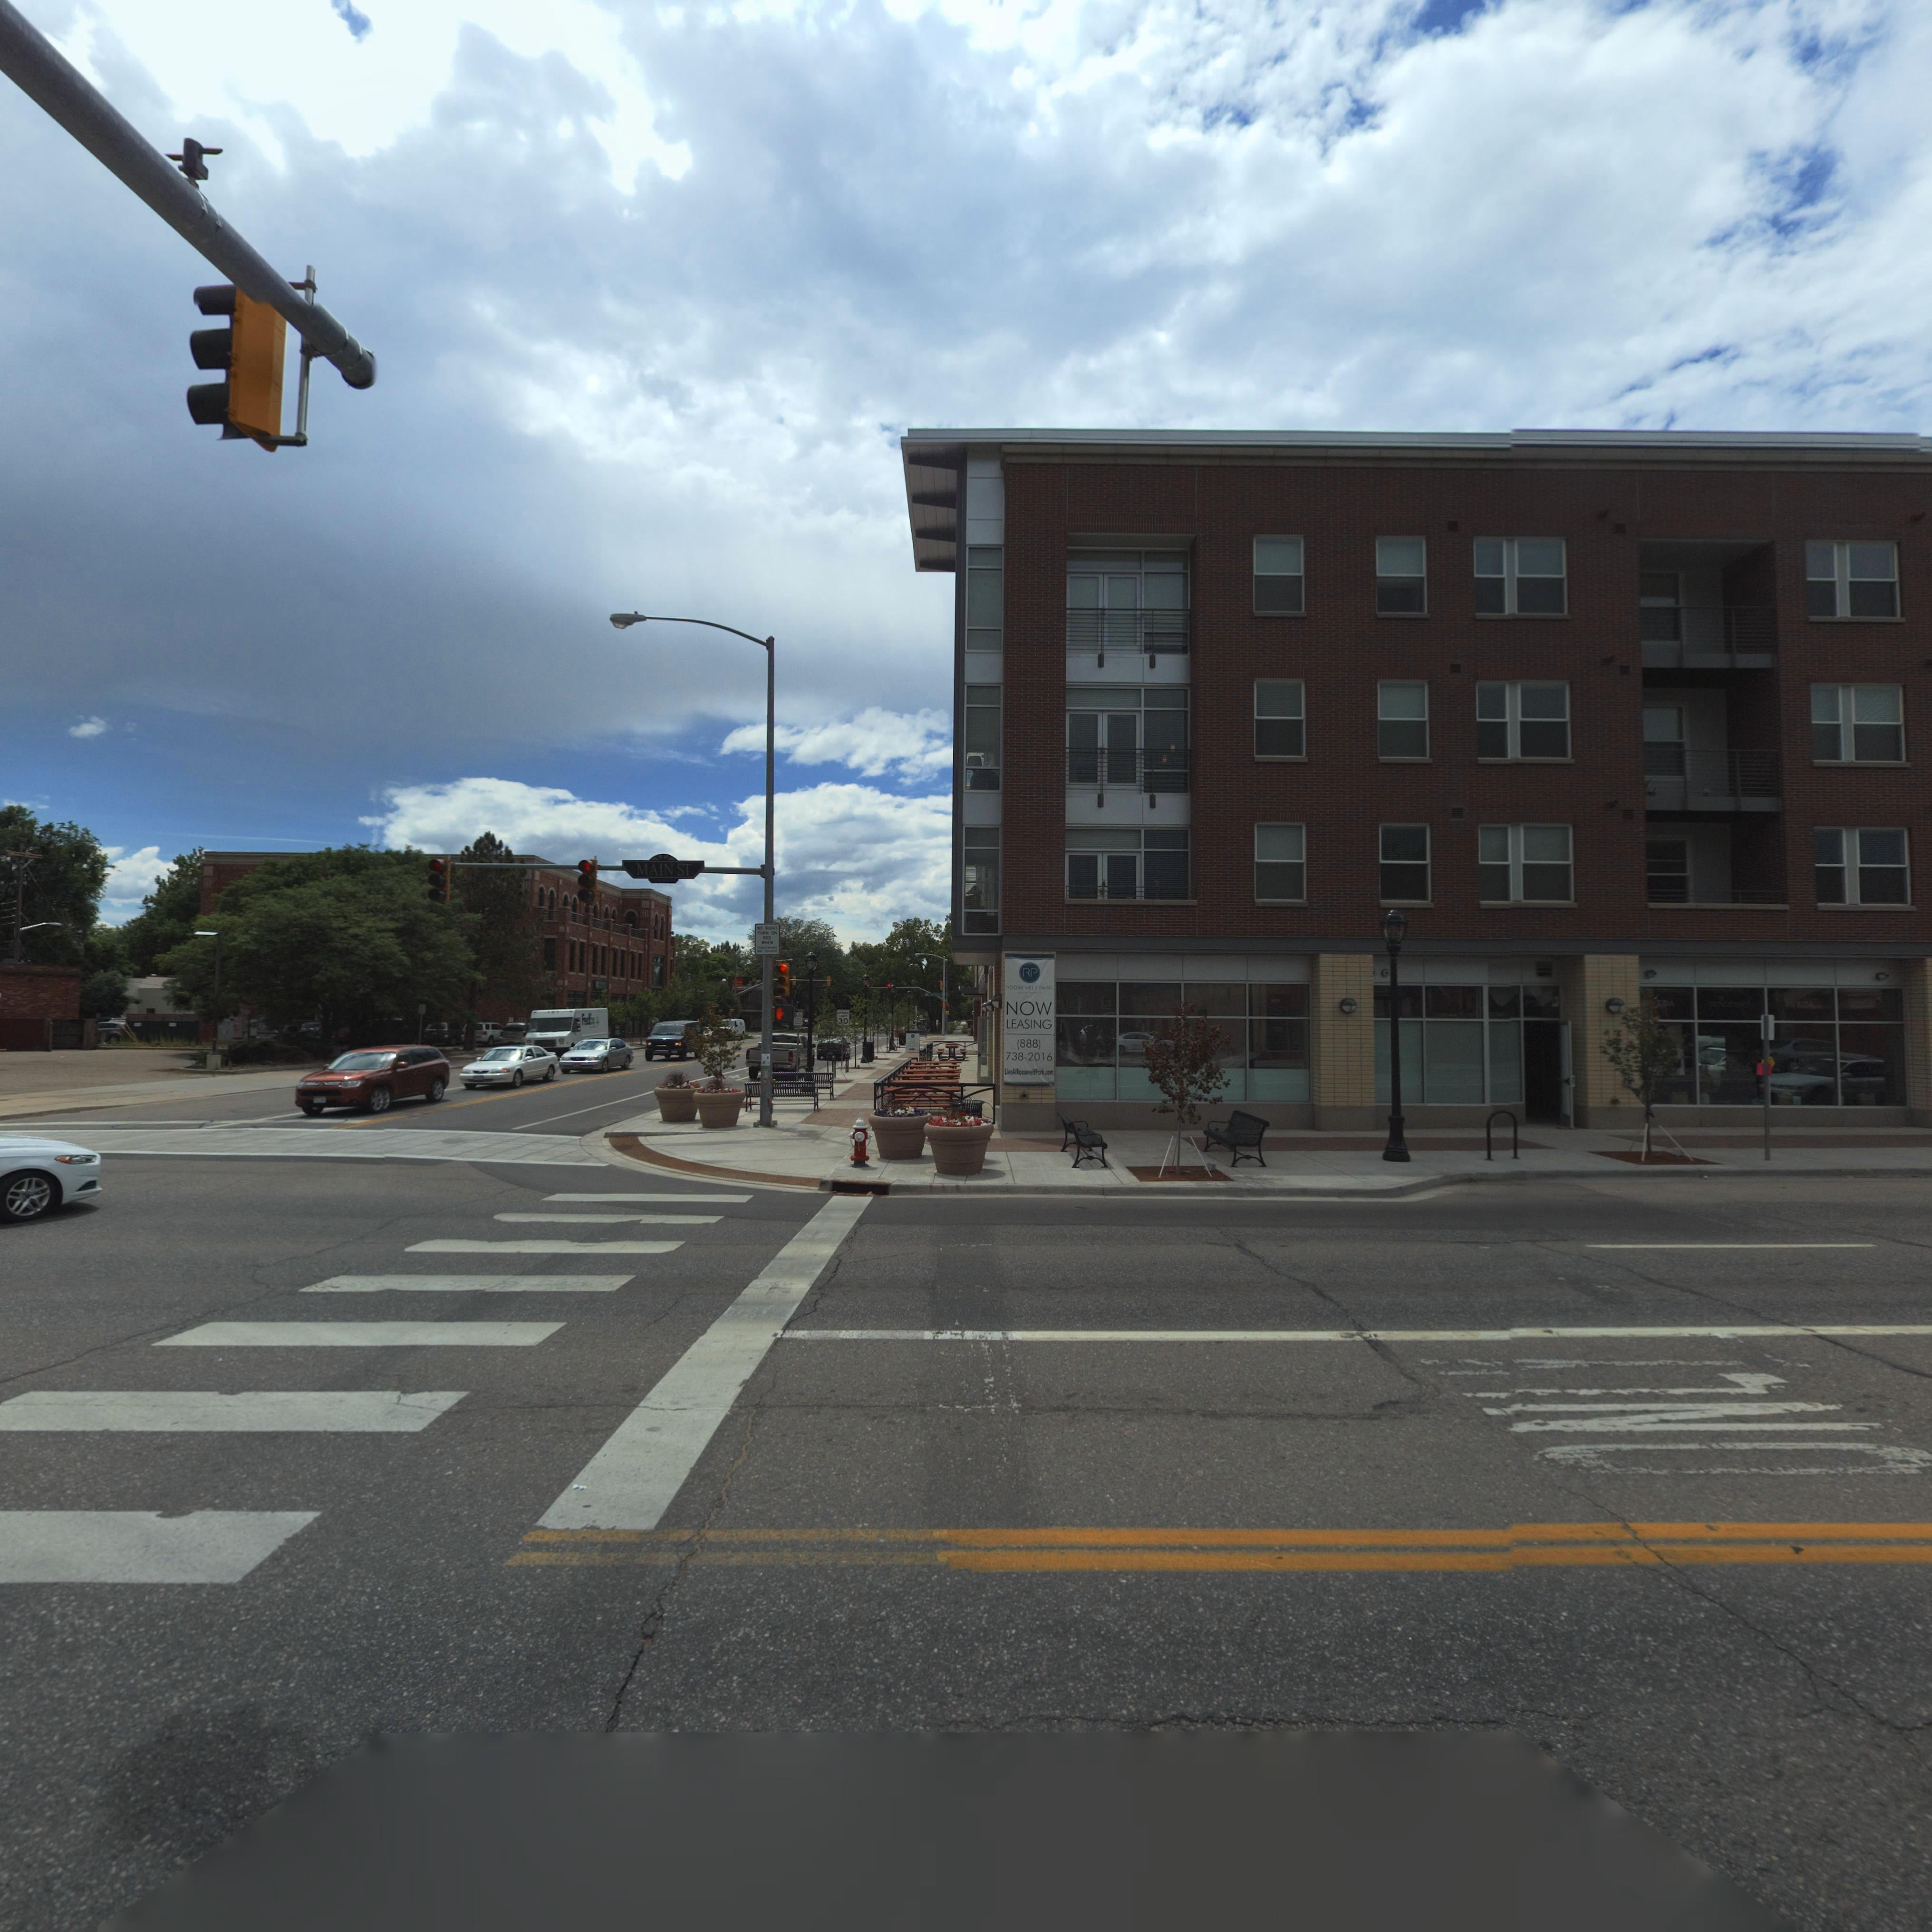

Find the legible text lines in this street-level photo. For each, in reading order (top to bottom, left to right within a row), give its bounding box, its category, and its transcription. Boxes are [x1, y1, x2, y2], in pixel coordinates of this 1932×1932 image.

[636, 862, 693, 877] StreetName: MAIN ST